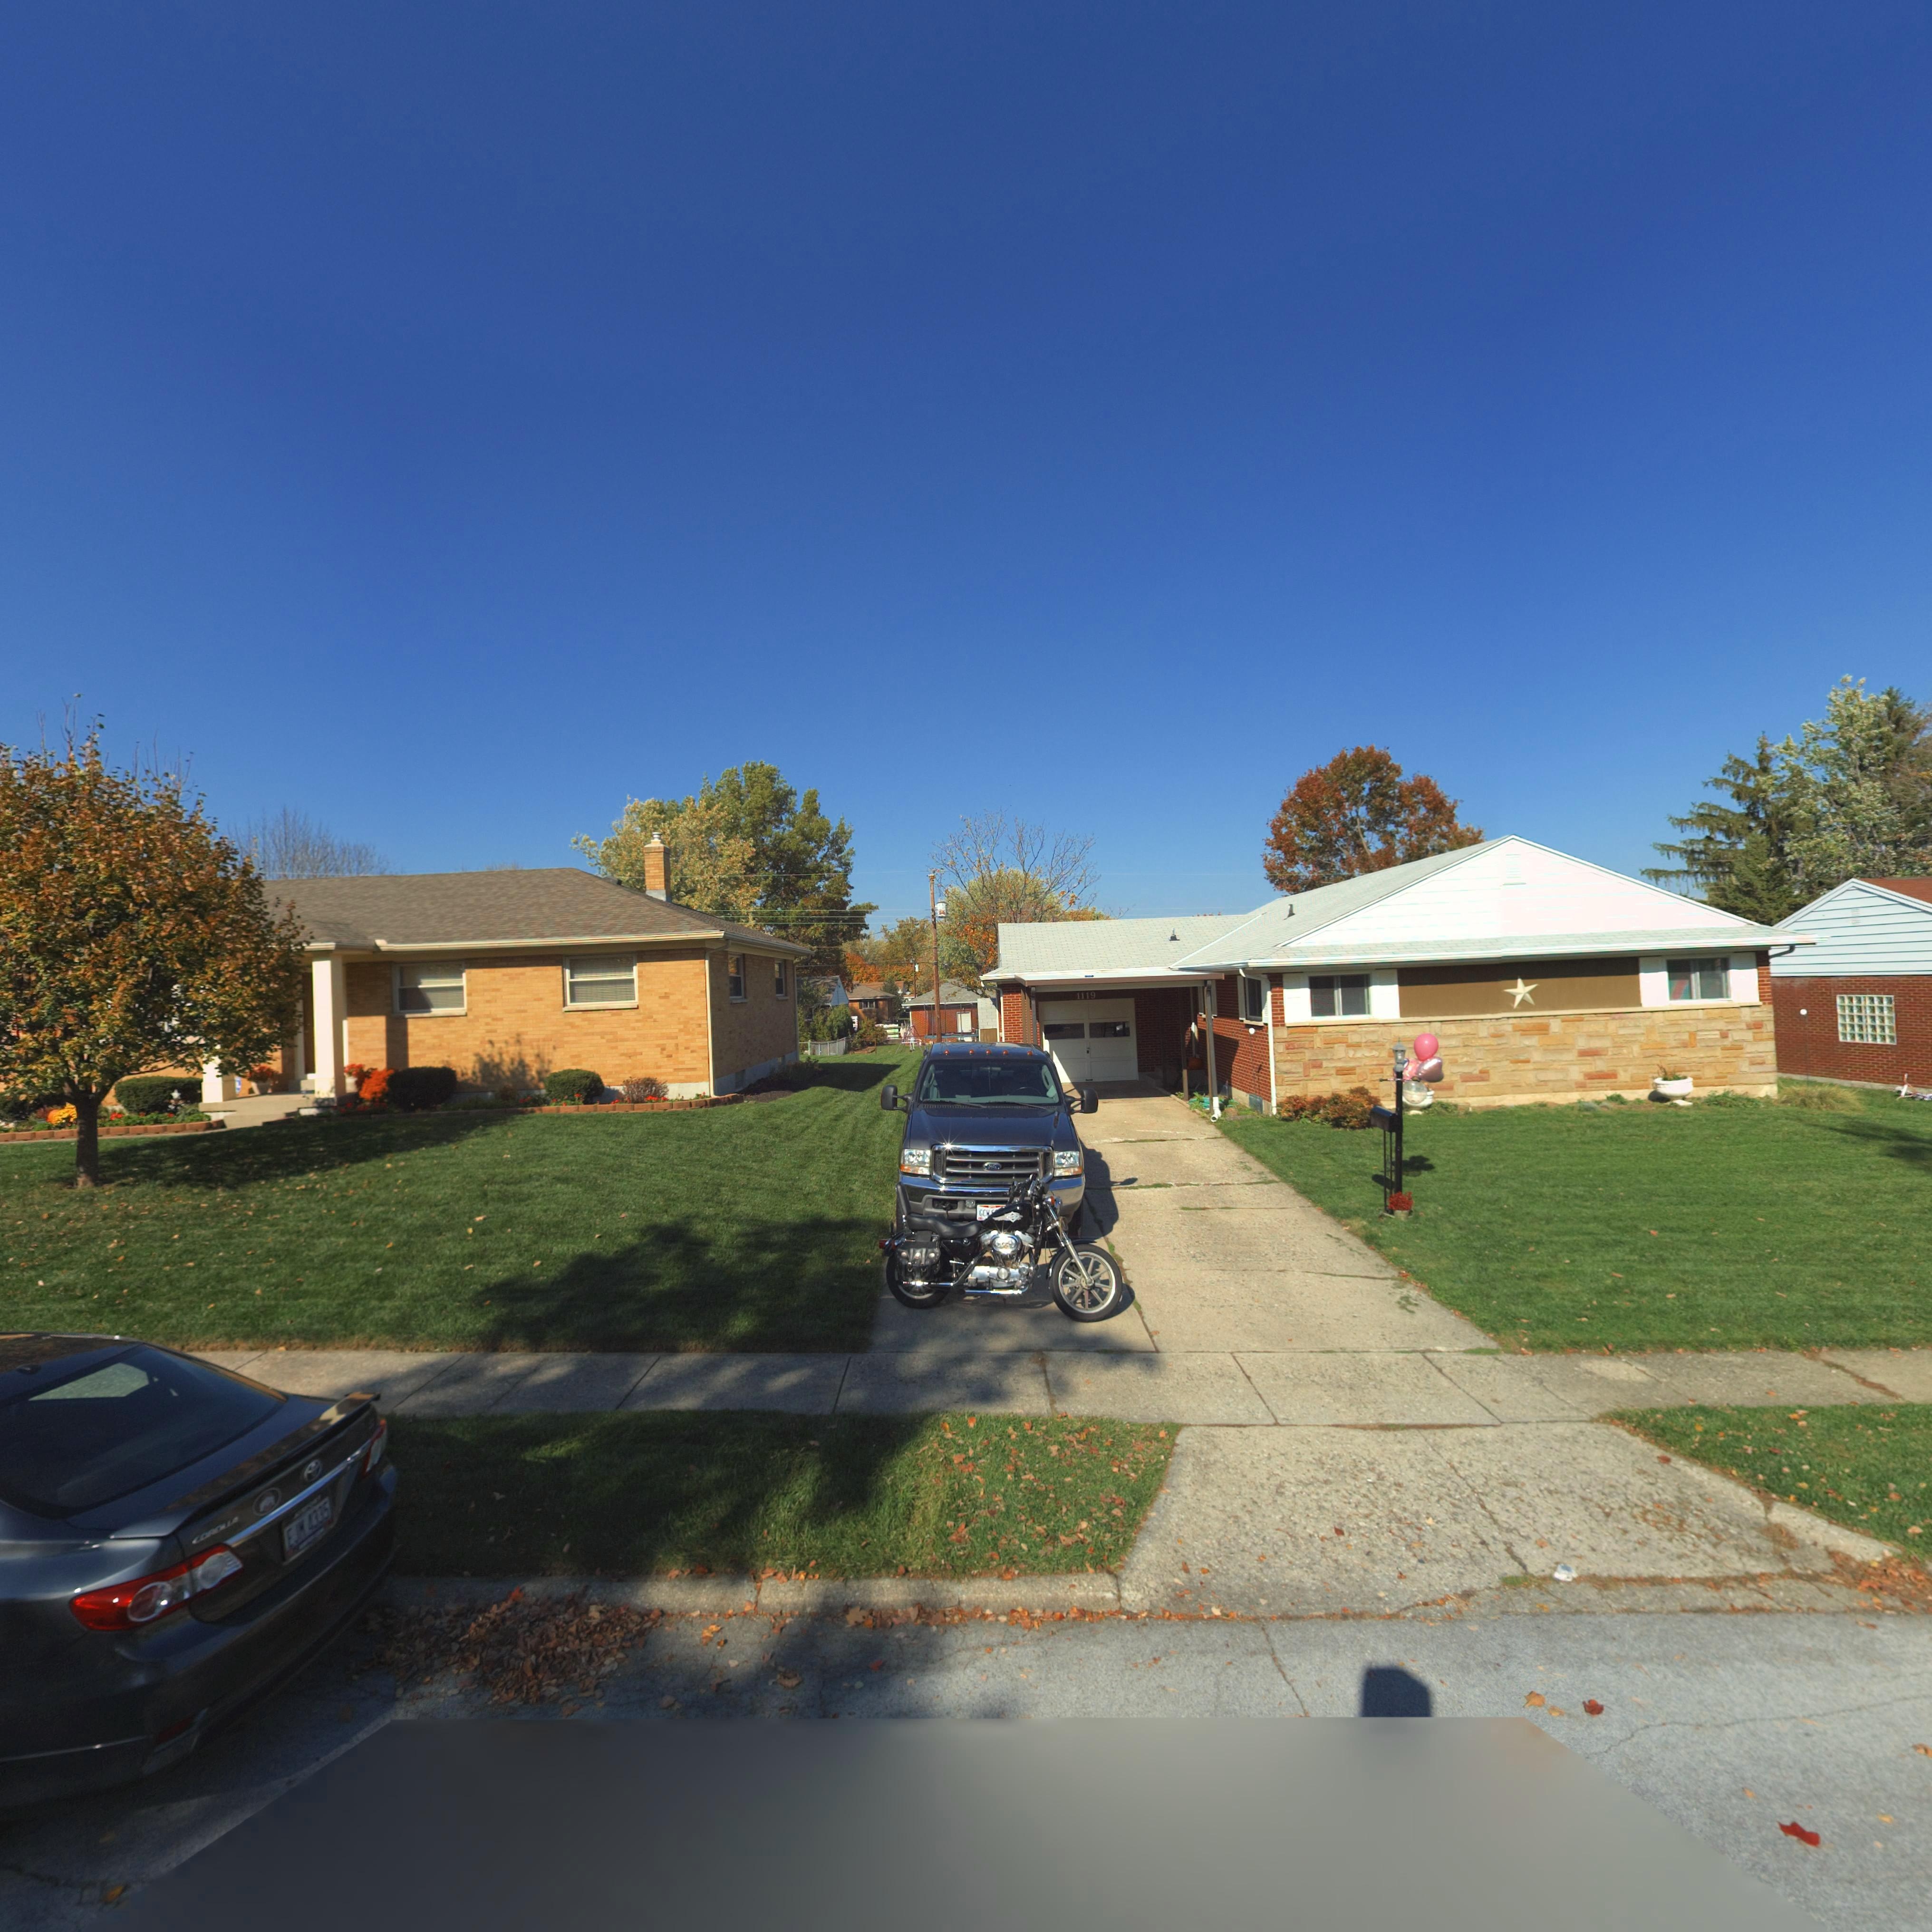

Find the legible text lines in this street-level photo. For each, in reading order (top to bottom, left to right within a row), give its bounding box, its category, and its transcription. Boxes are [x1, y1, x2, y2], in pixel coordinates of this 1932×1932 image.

[1076, 991, 1096, 1000] StreetNumber: 1119
[978, 1209, 991, 1217] None: GCW